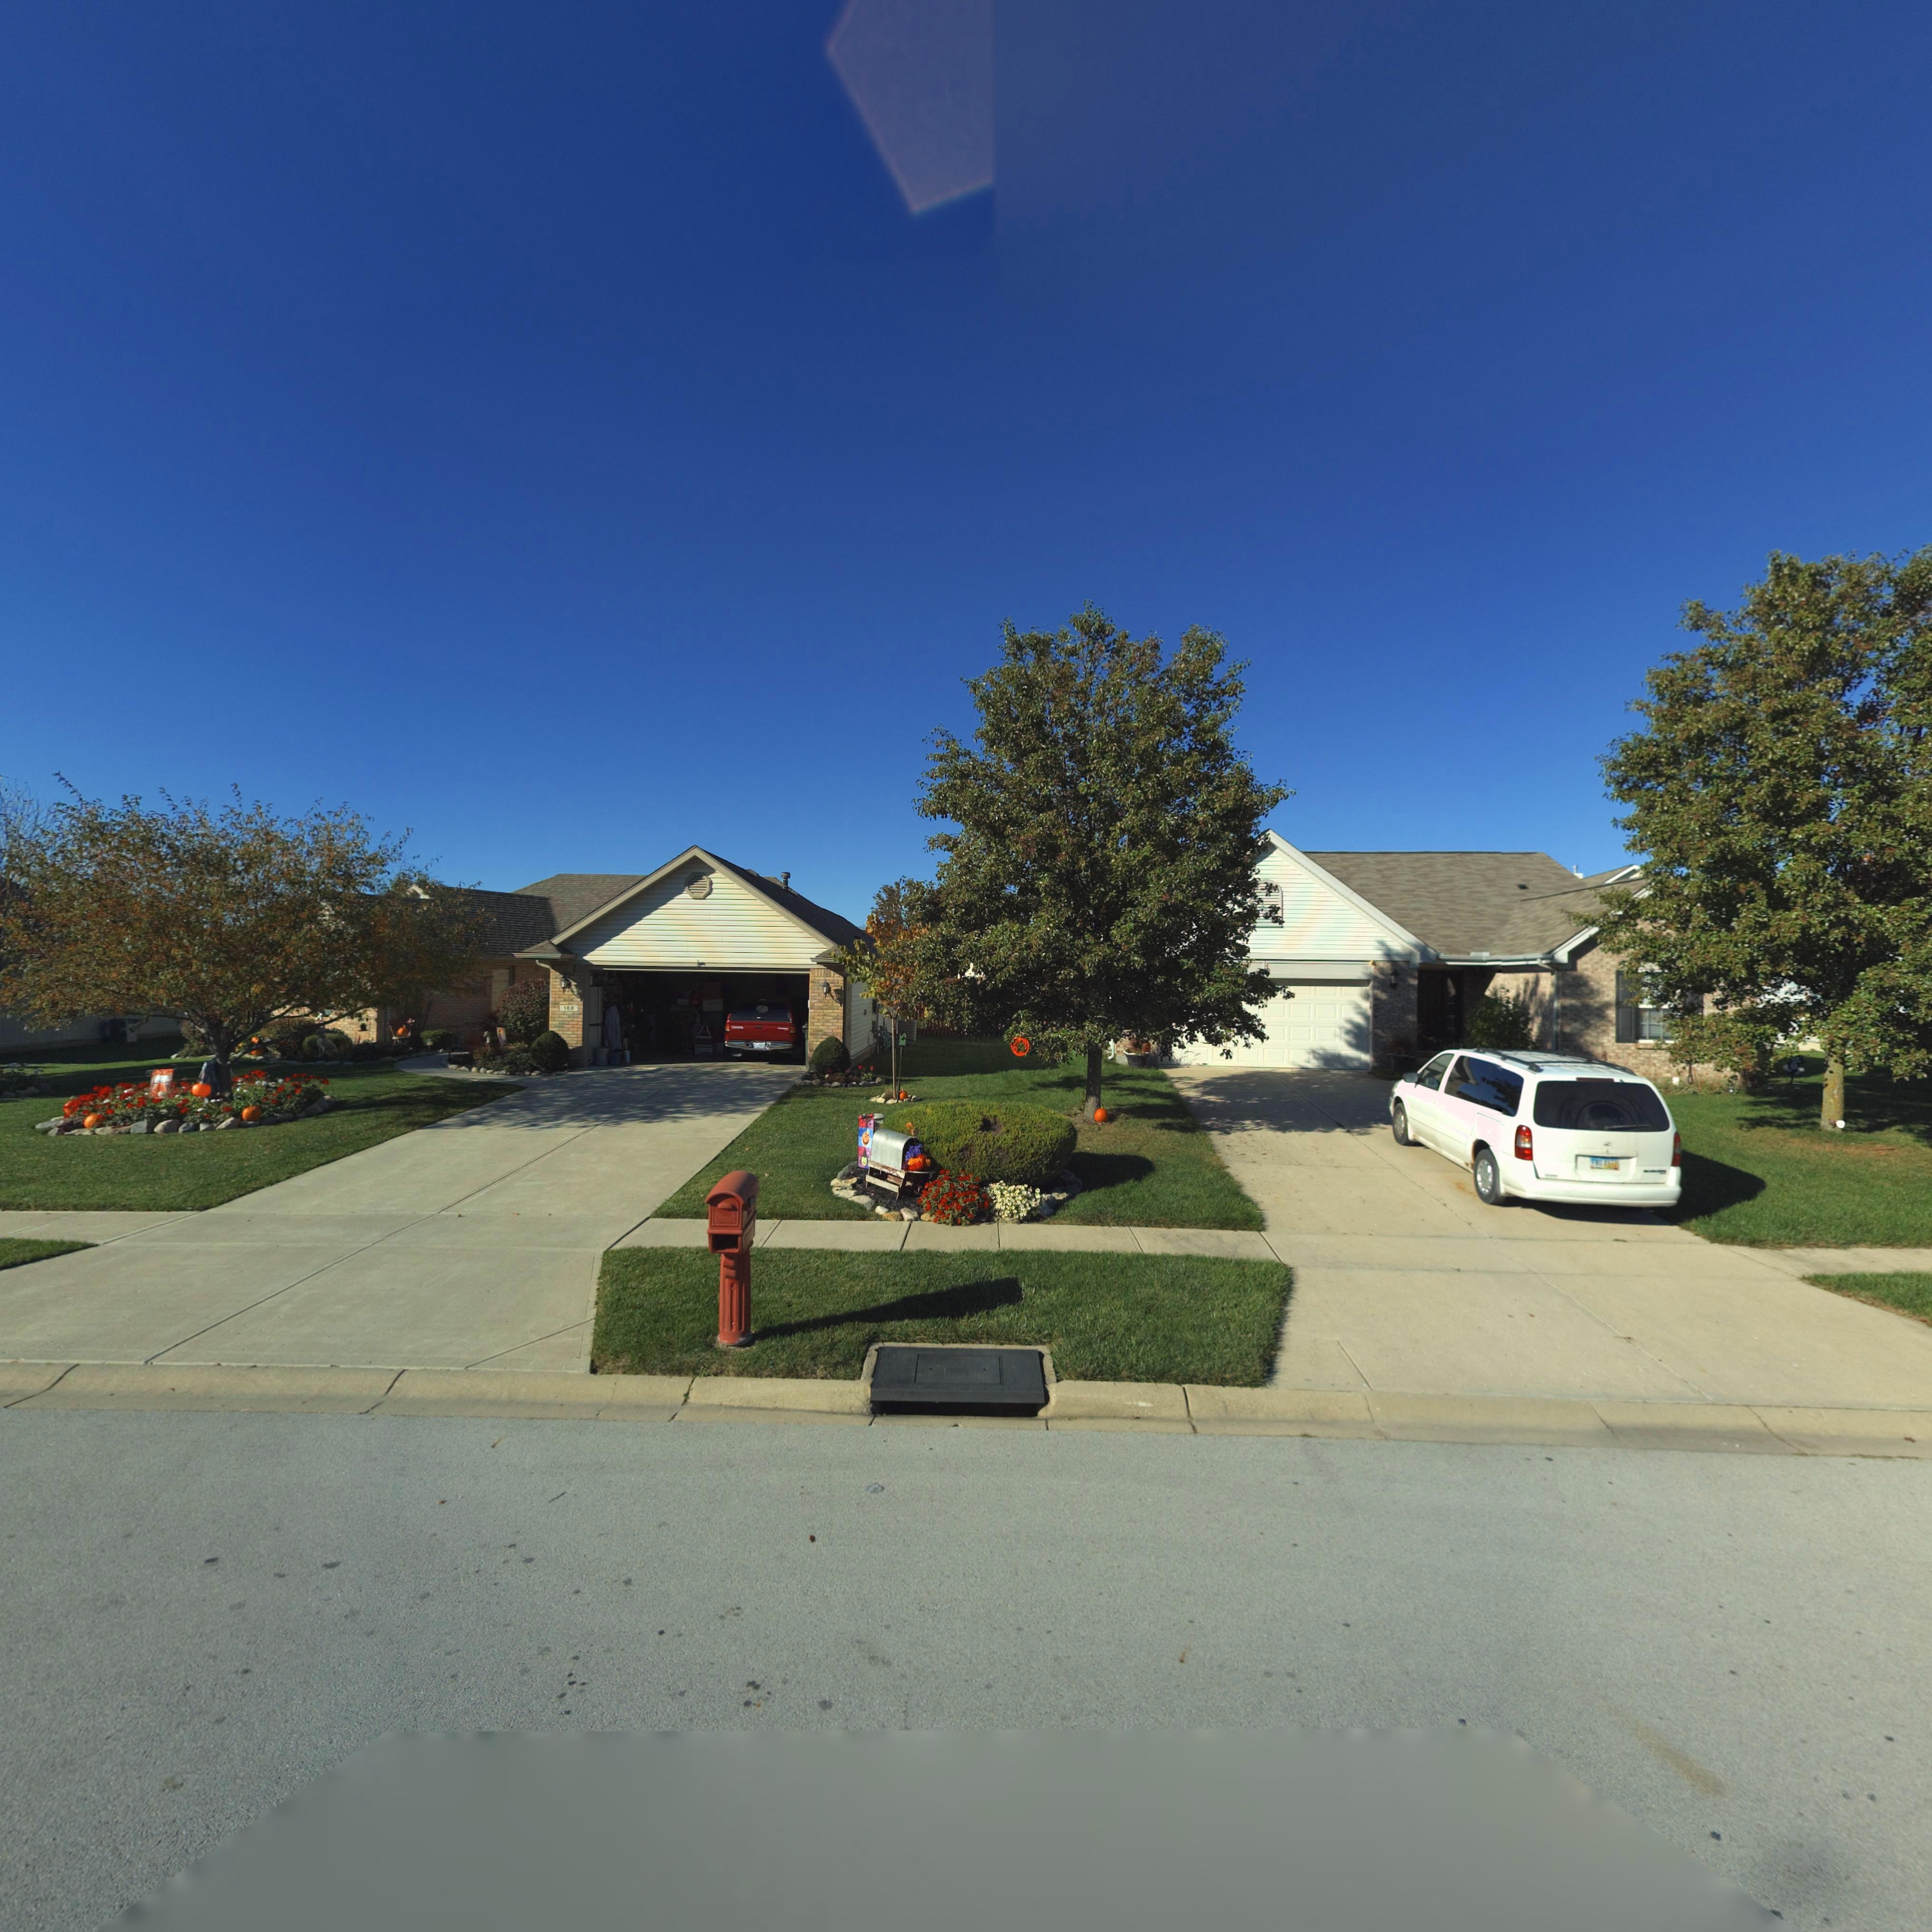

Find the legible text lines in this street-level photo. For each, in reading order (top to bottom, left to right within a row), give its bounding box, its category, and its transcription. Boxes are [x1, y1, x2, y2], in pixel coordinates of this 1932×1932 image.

[563, 1005, 575, 1011] StreetNumber: 168